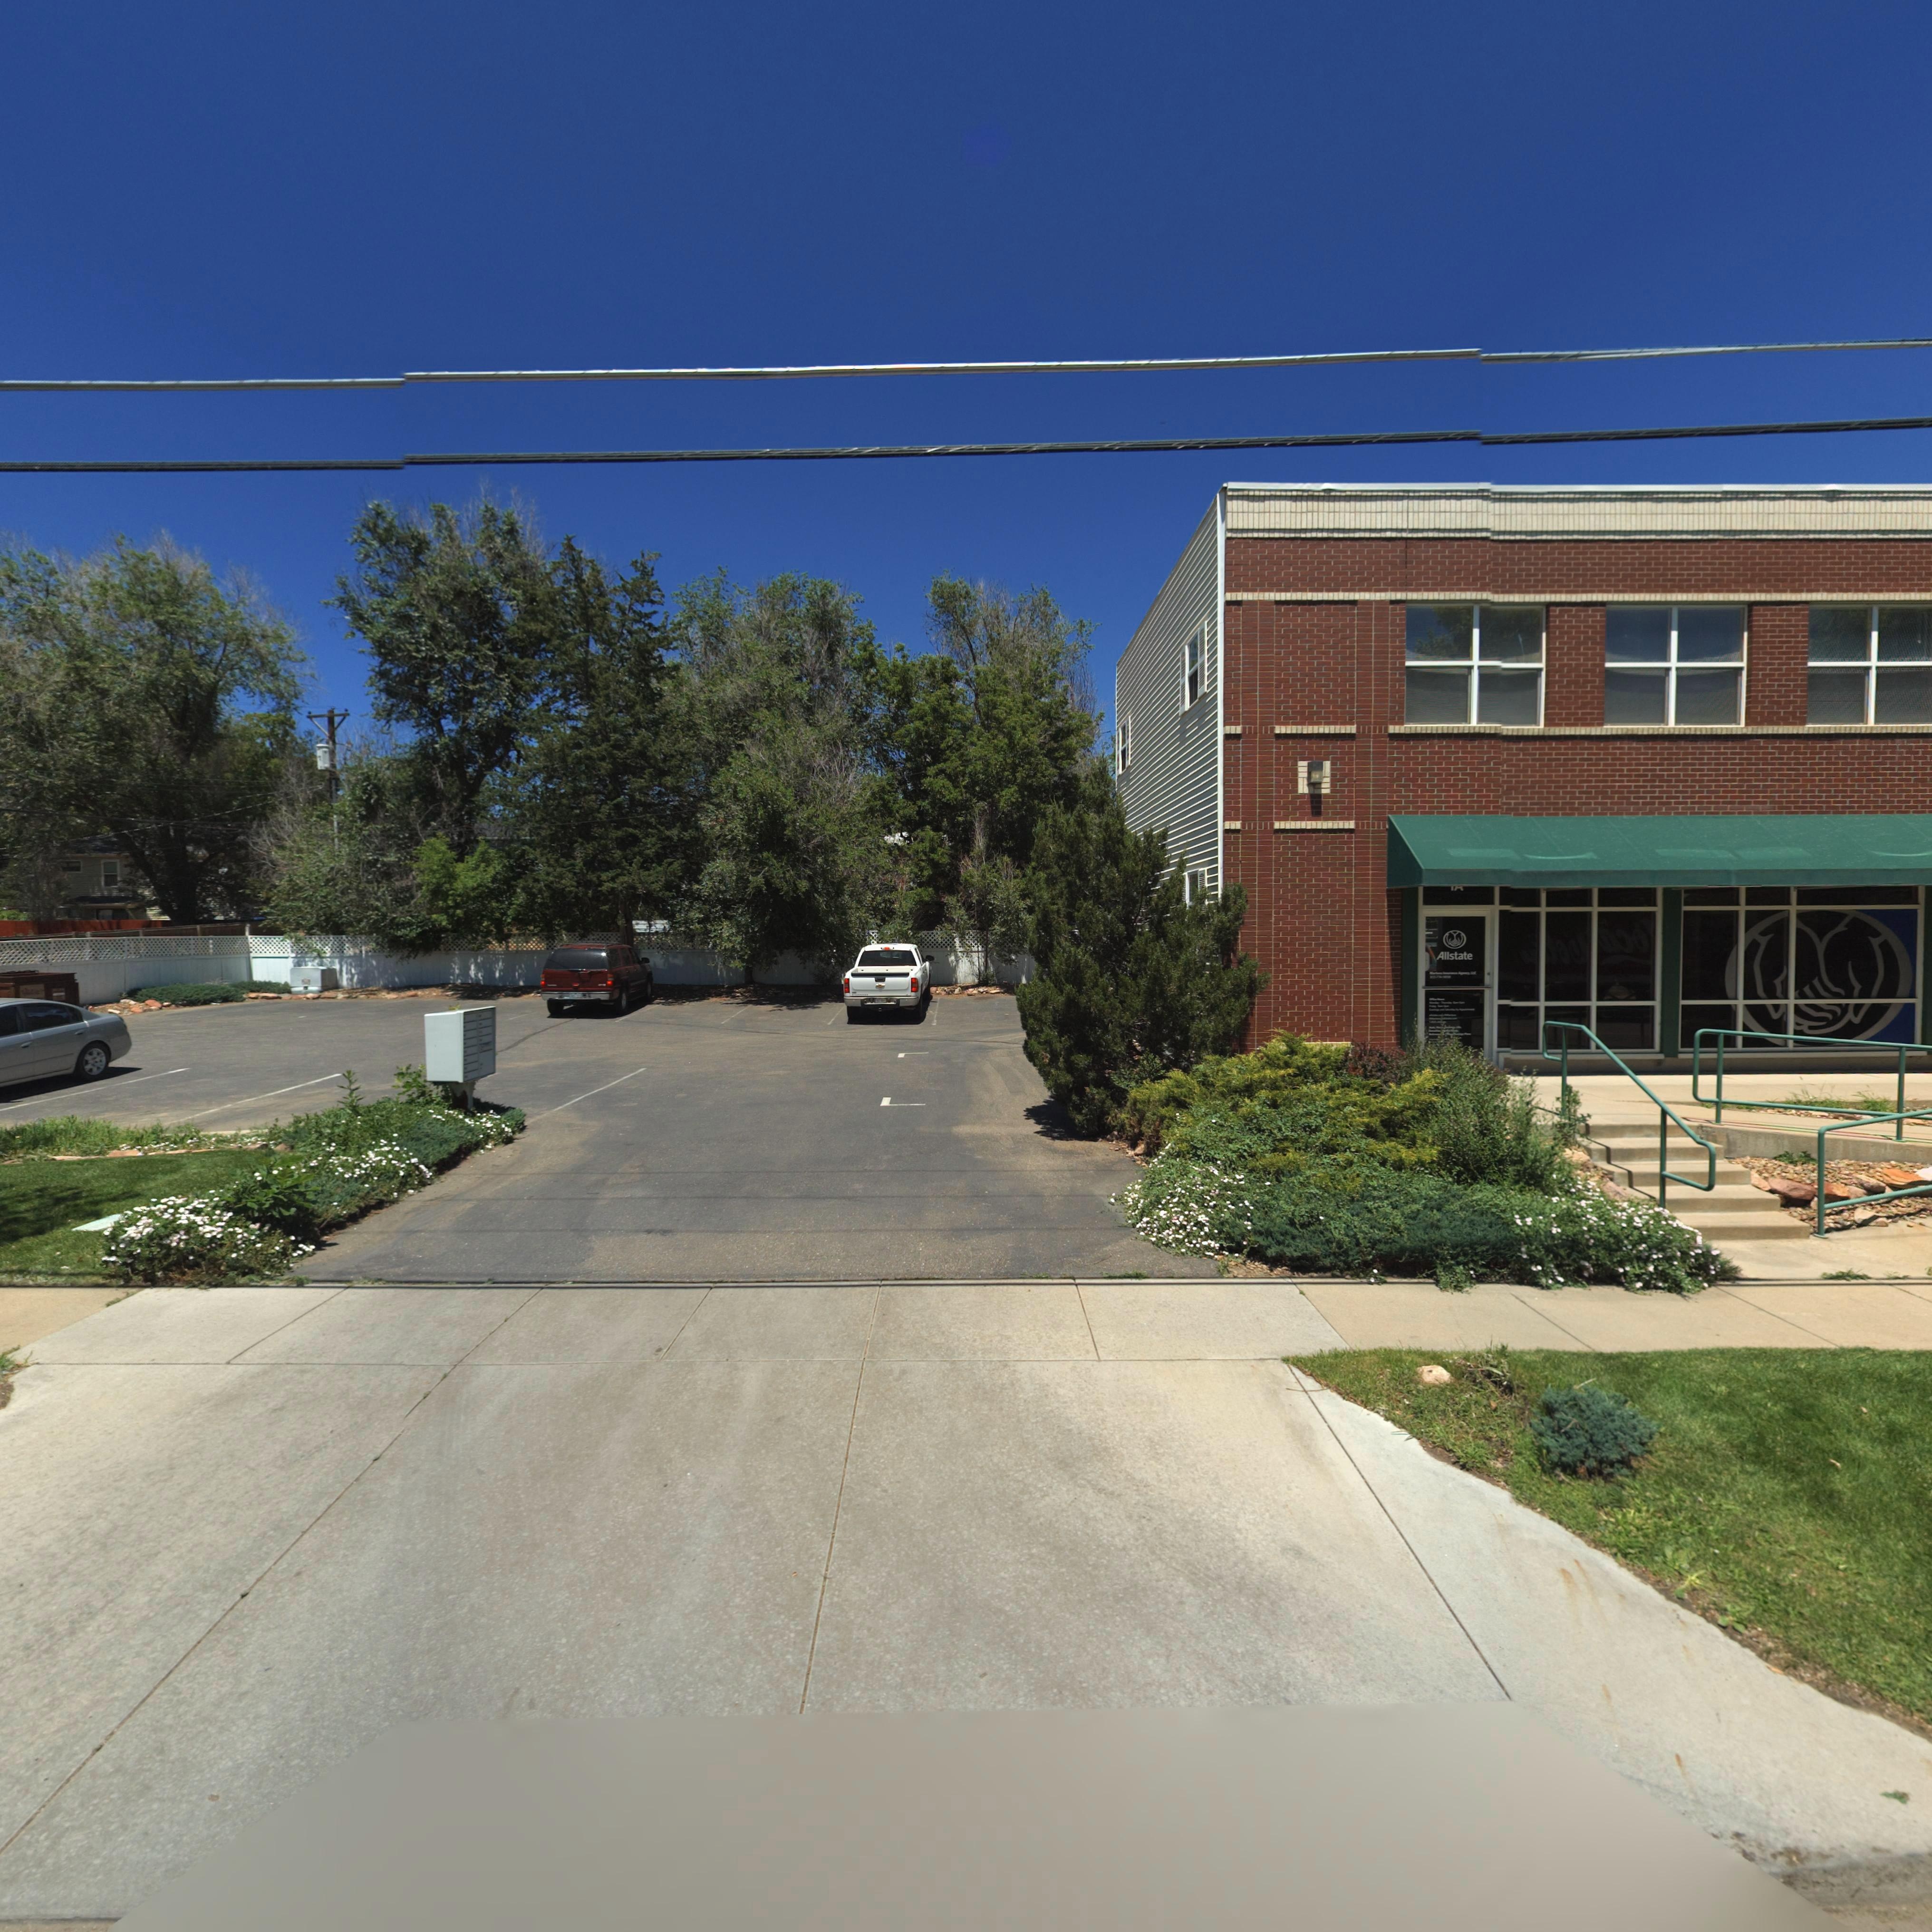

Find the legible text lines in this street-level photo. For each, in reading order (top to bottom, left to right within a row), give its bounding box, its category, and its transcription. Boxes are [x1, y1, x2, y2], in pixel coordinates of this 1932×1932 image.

[1435, 951, 1473, 960] BusinessName: Allstate